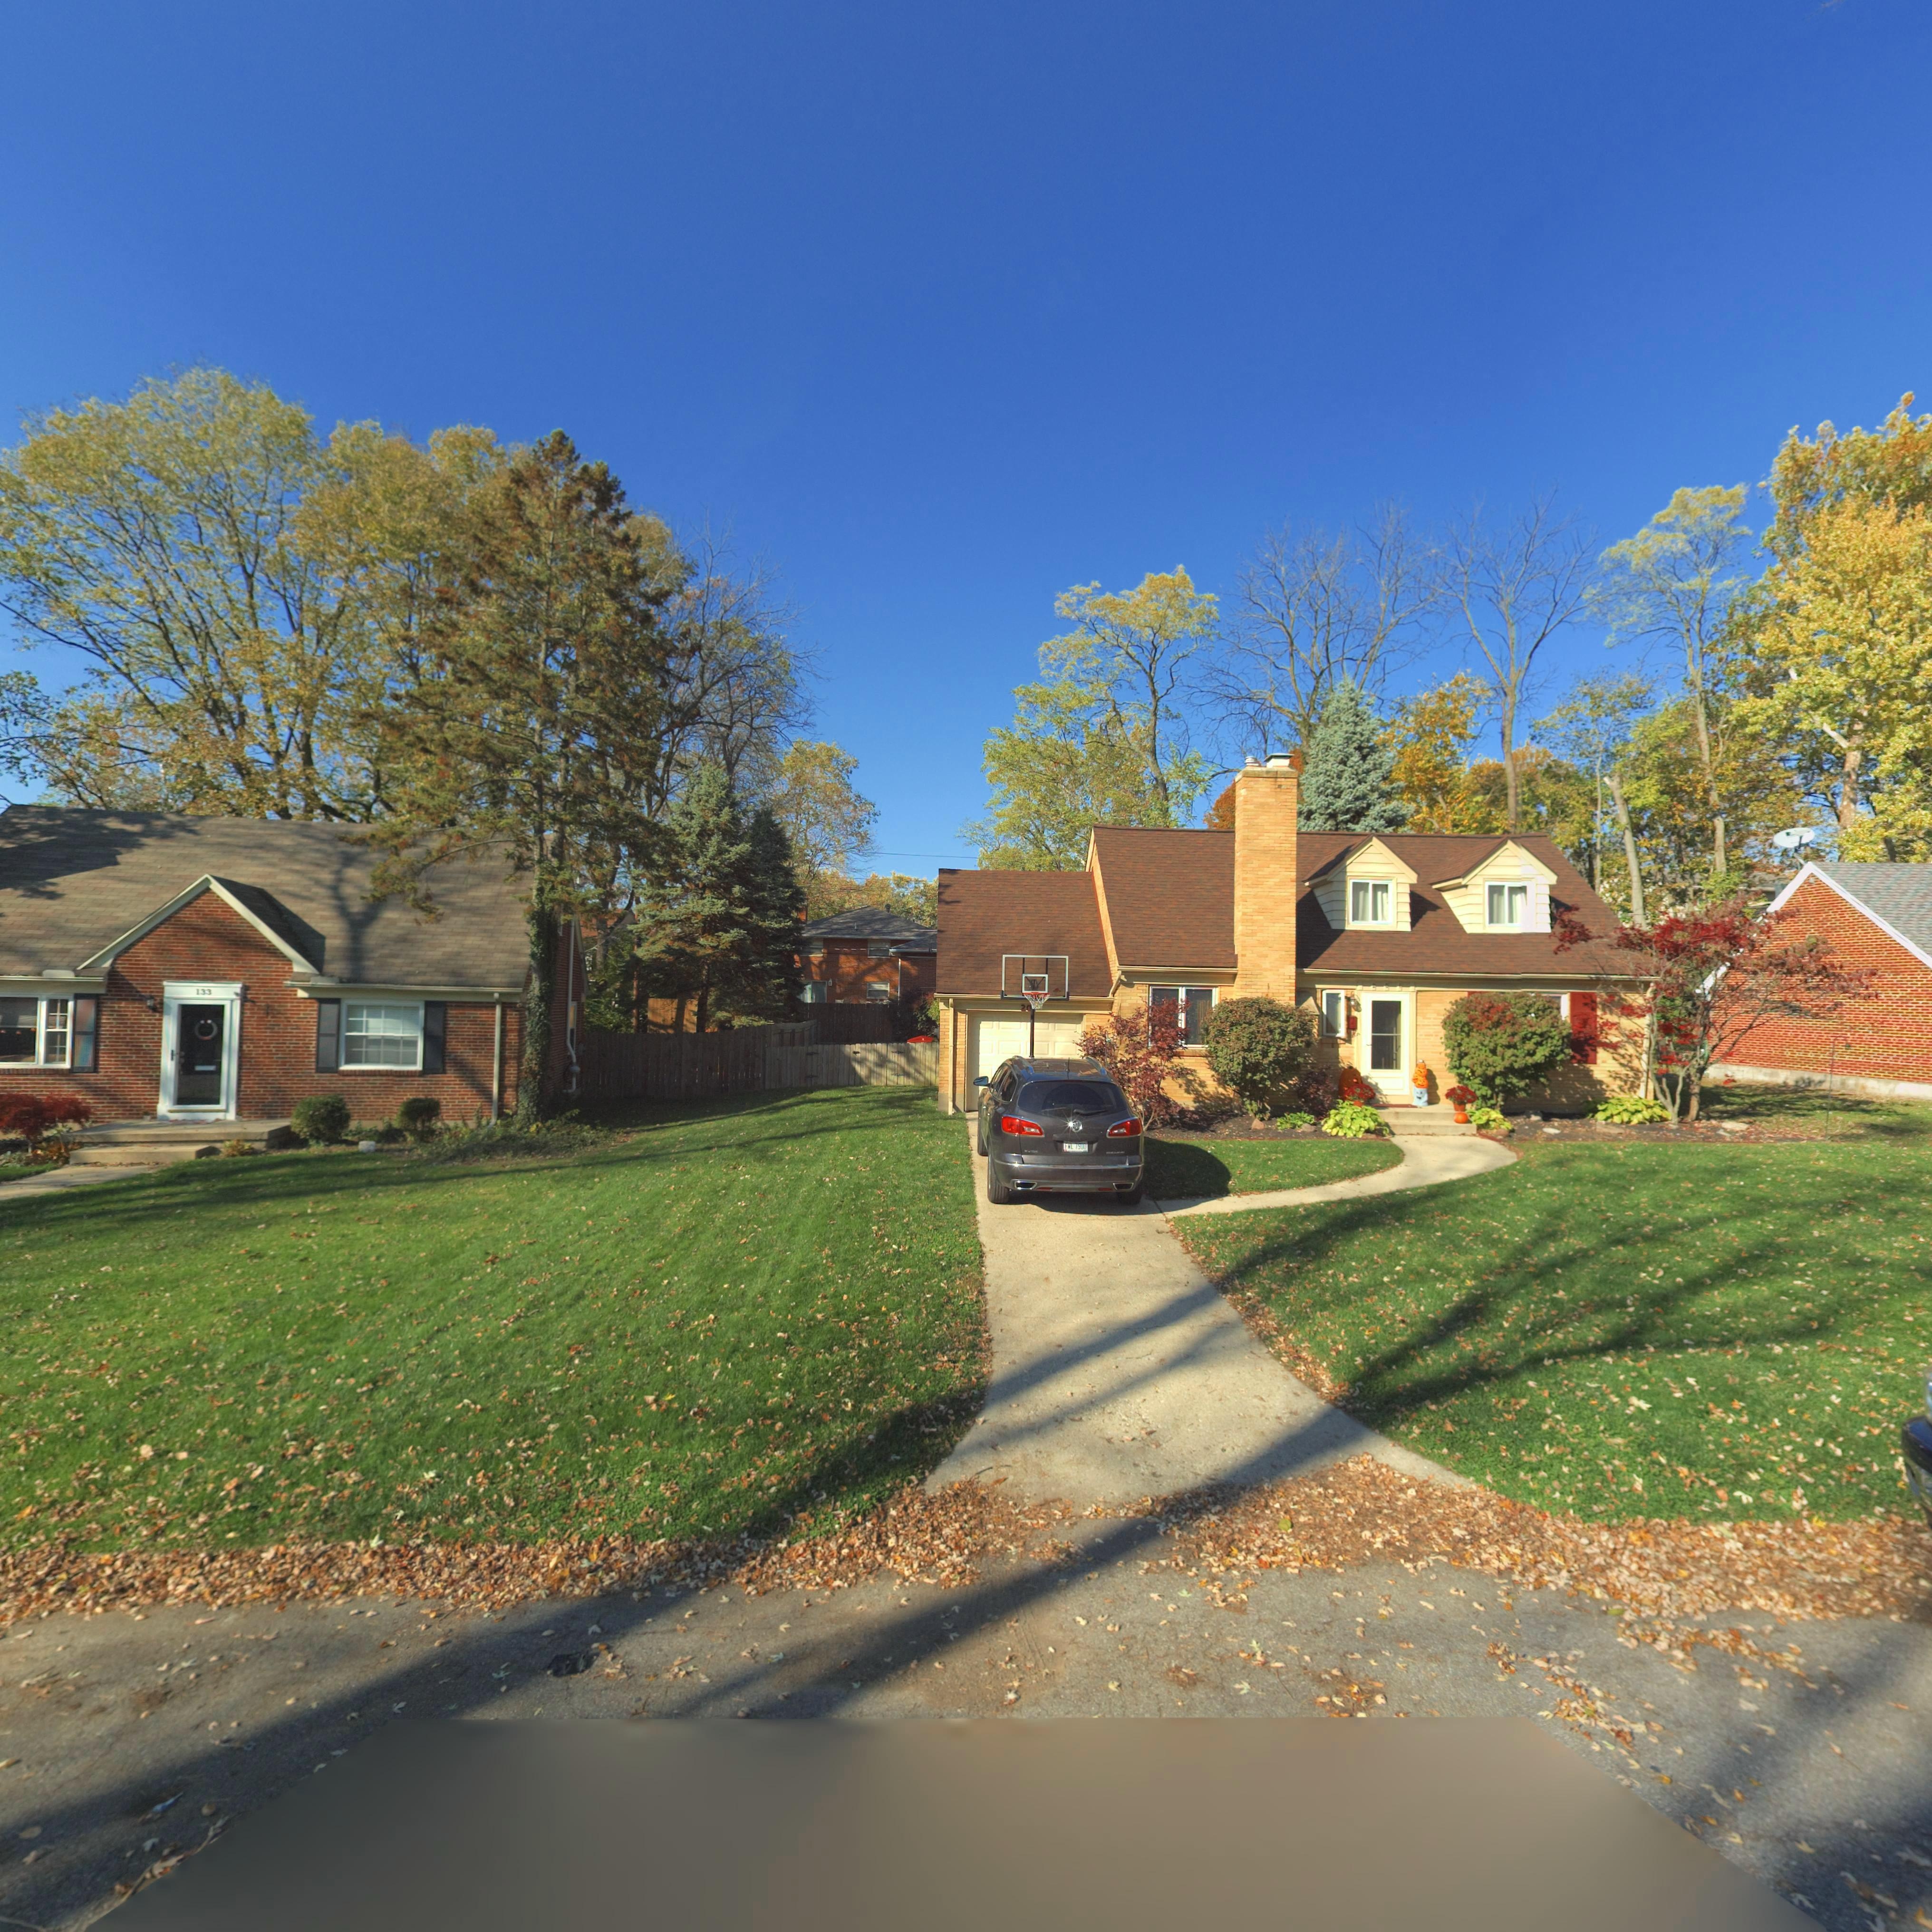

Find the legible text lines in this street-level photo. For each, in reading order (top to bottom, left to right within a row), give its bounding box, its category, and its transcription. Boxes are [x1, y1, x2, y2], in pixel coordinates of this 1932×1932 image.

[195, 987, 213, 996] StreetNumber: 133
[1020, 1003, 1032, 1013] StreetNumber: 20